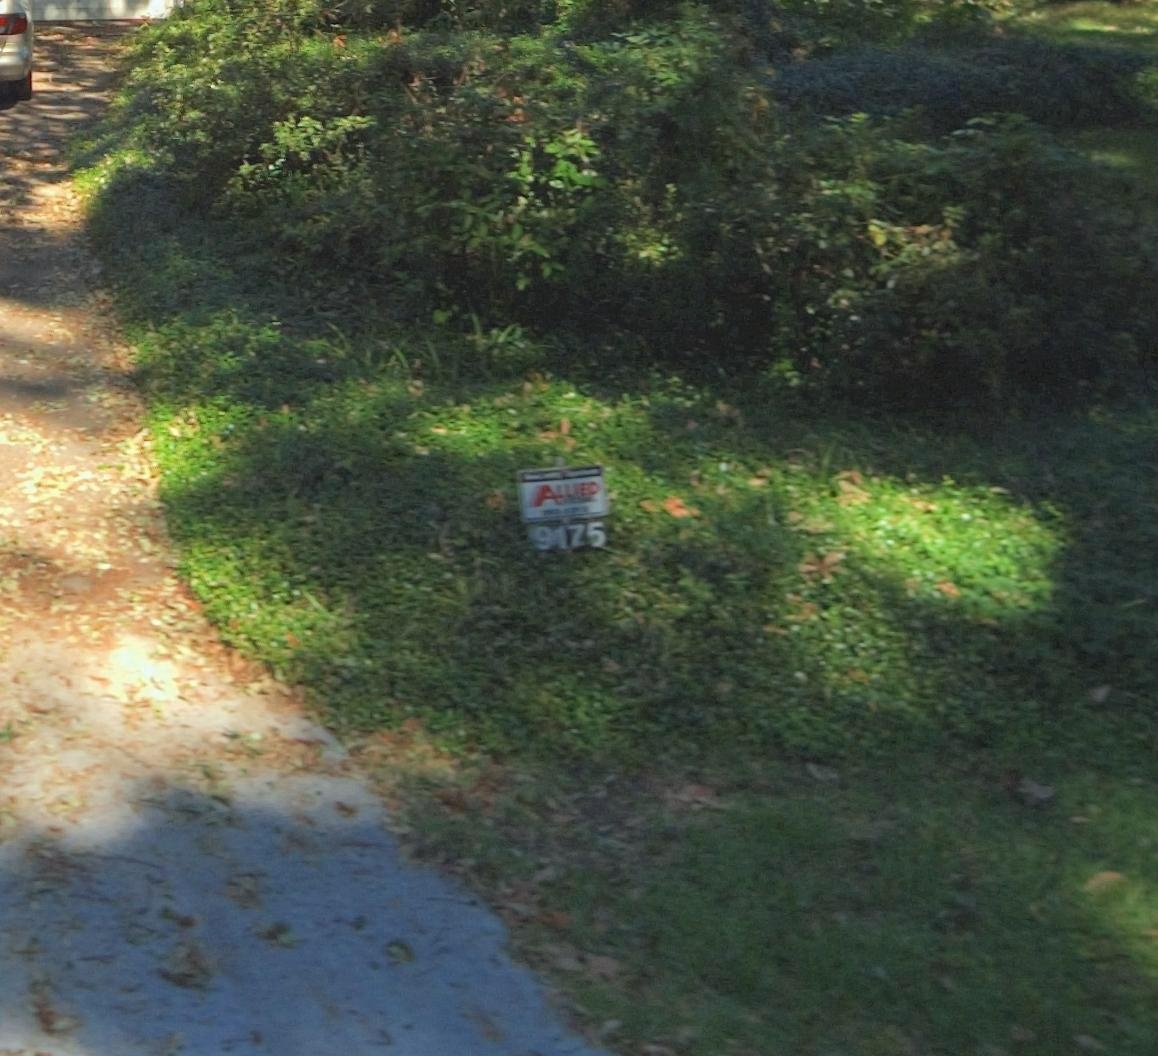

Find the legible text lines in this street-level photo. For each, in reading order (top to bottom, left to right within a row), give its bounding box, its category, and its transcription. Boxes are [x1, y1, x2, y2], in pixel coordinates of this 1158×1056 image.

[526, 477, 604, 513] None: ALLIED
[531, 517, 608, 556] StreetNumber: 9175